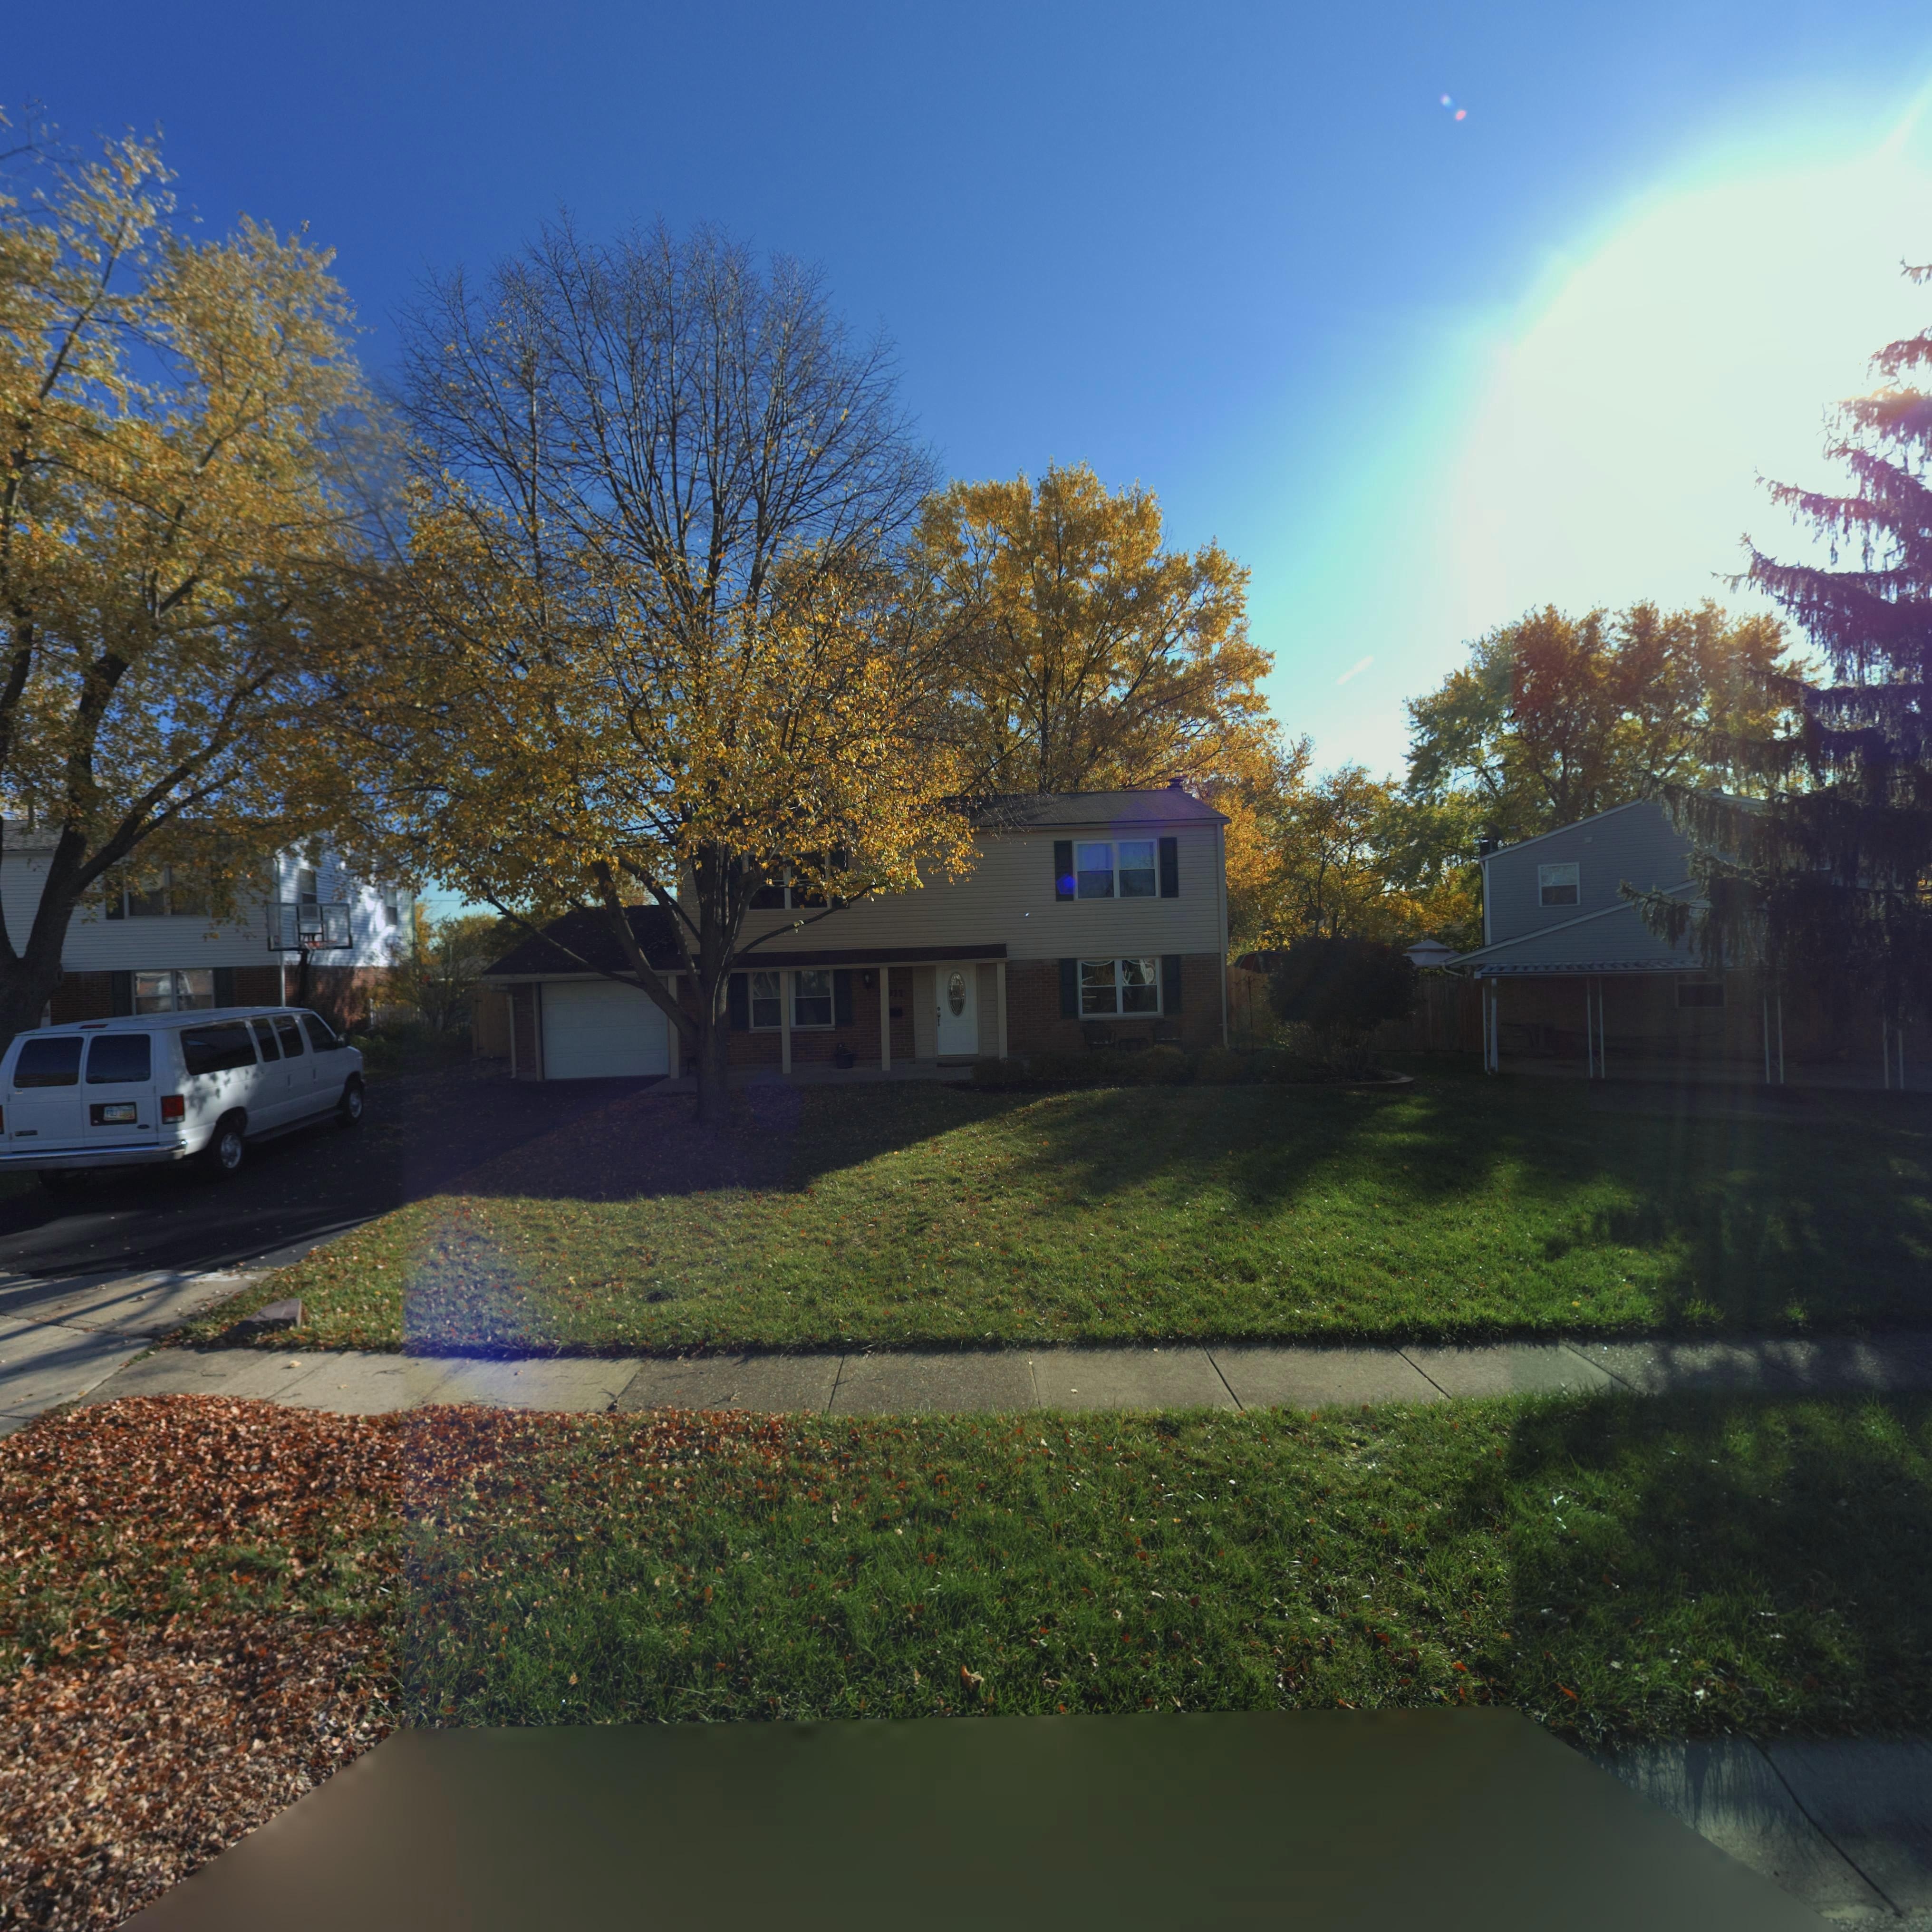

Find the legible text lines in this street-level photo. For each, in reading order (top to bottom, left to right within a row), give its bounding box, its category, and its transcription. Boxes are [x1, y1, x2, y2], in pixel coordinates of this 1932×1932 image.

[892, 987, 904, 998] StreetNumber: 11